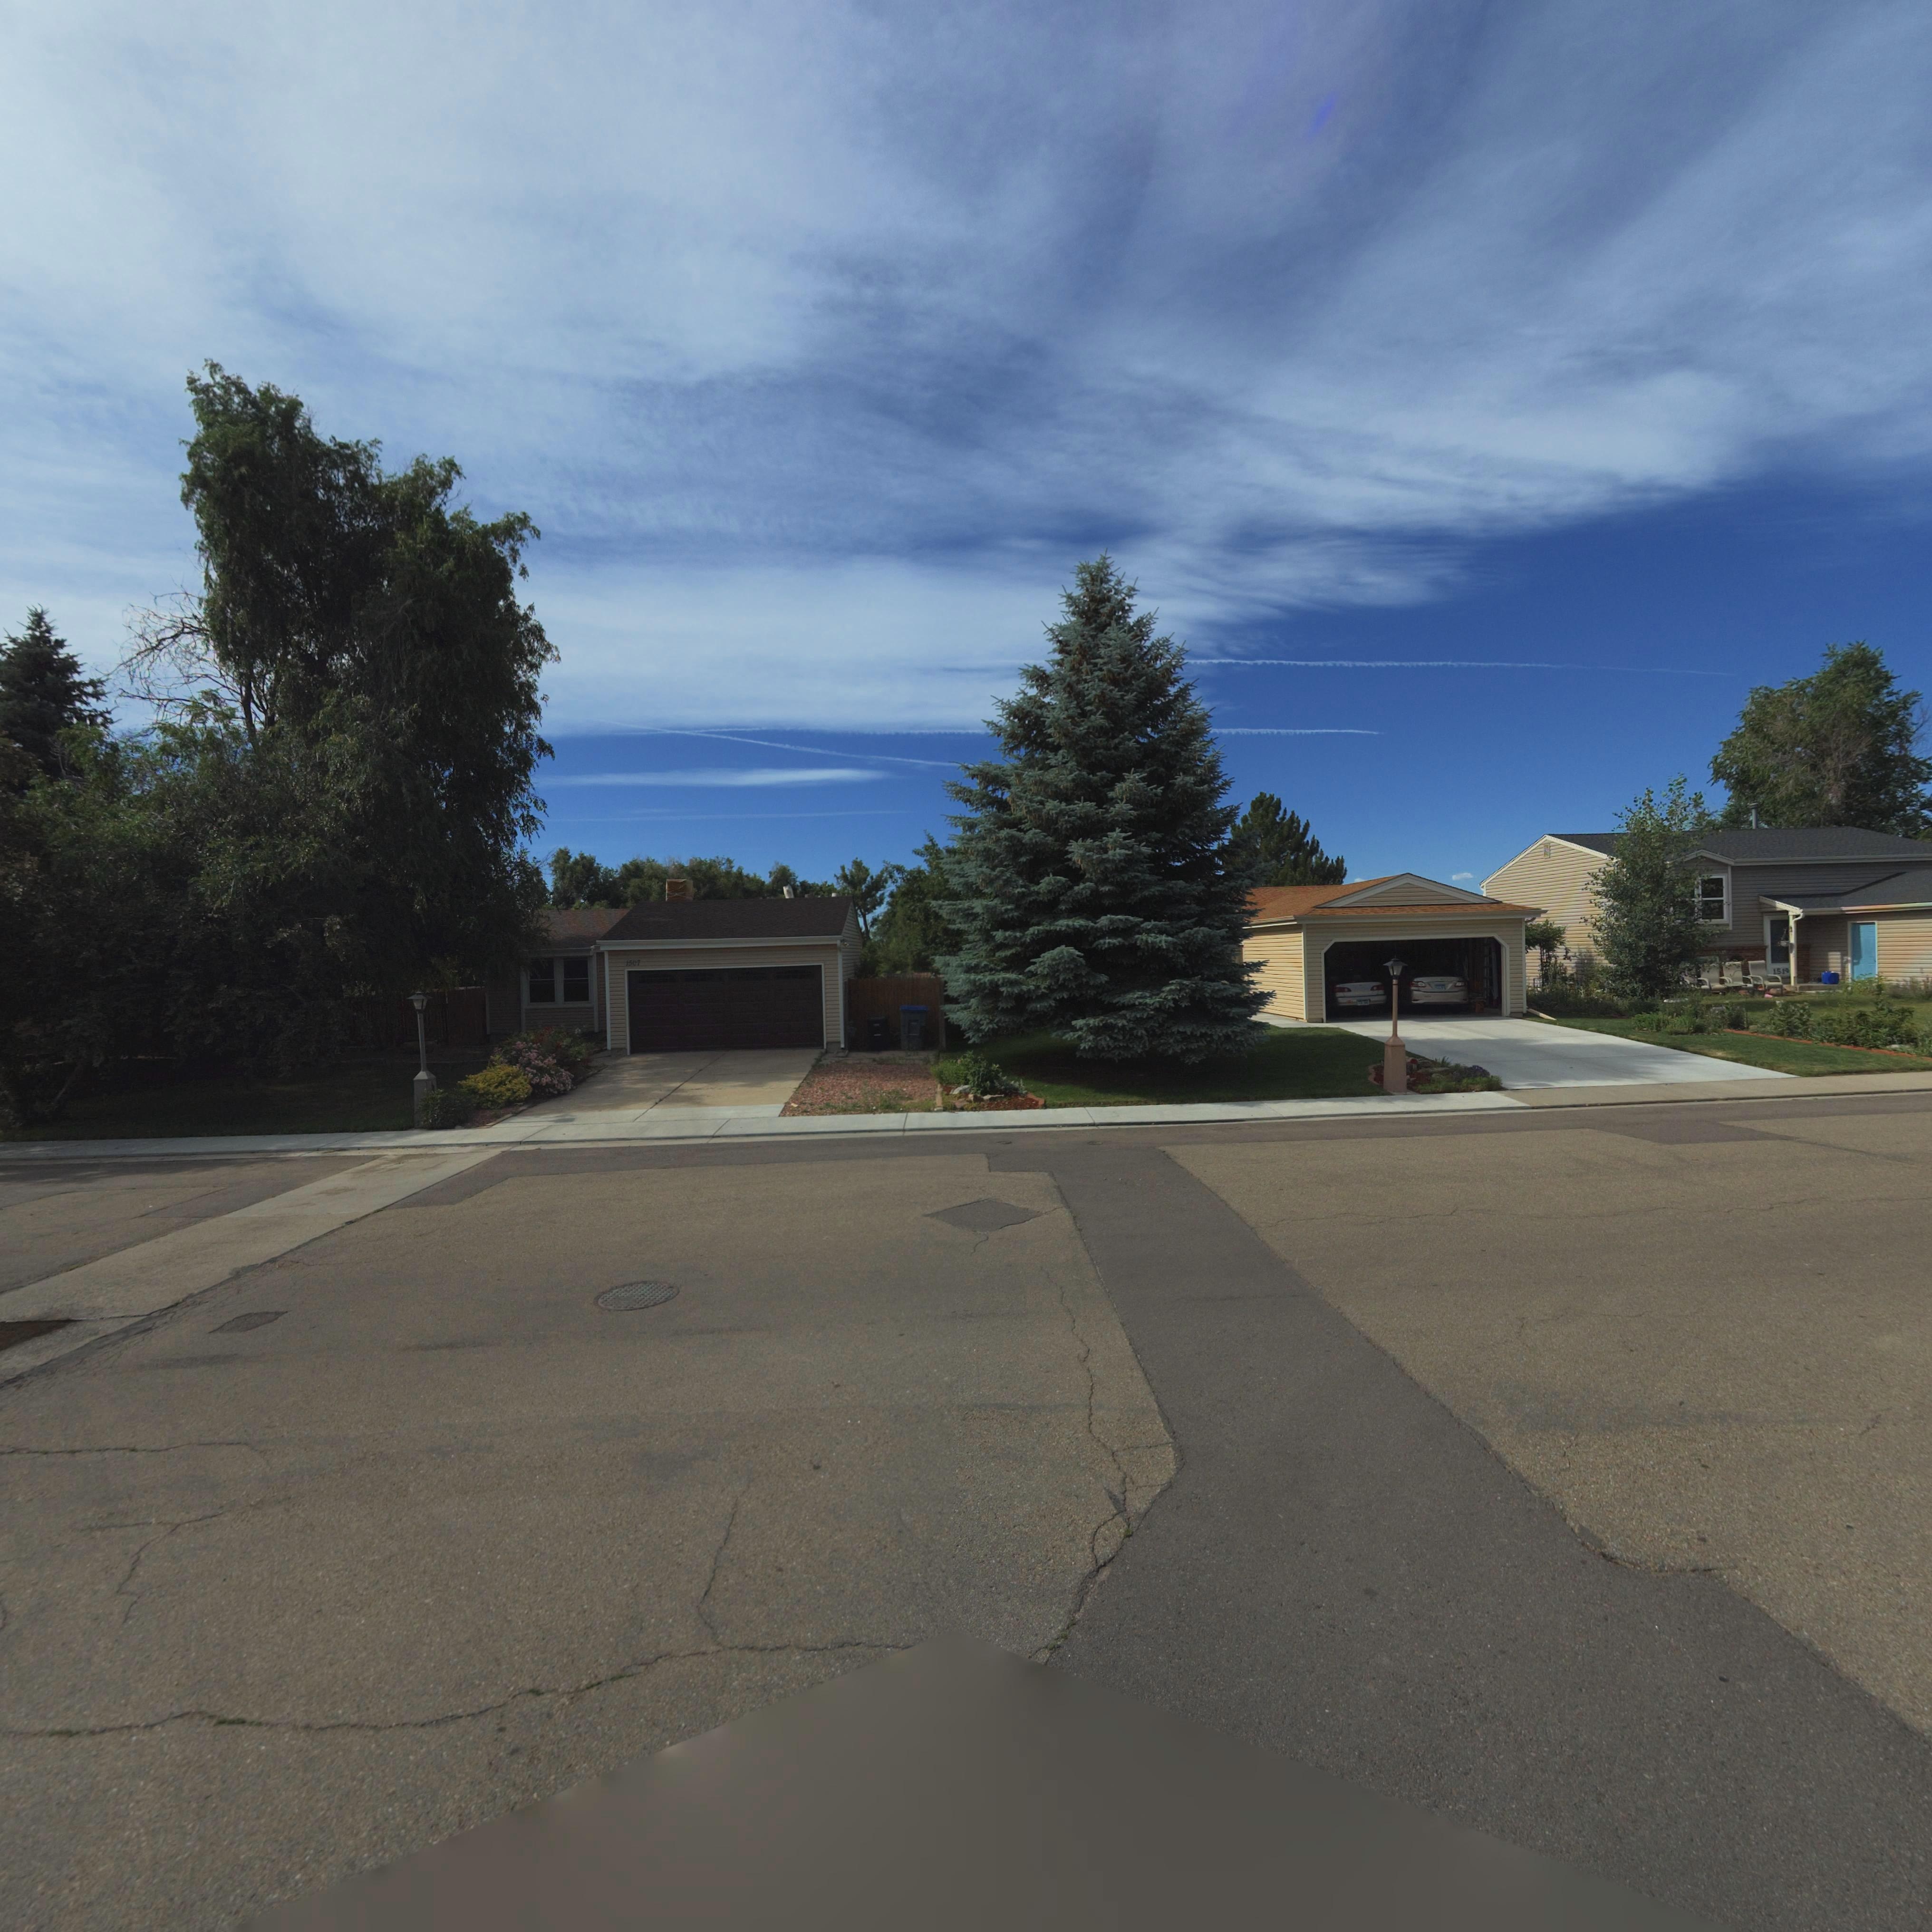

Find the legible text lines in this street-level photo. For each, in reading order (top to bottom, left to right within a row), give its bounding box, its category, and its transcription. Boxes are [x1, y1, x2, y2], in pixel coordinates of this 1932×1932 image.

[625, 959, 641, 966] StreetNumber: 1507
[1772, 967, 1790, 975] StreetNumber: 1519